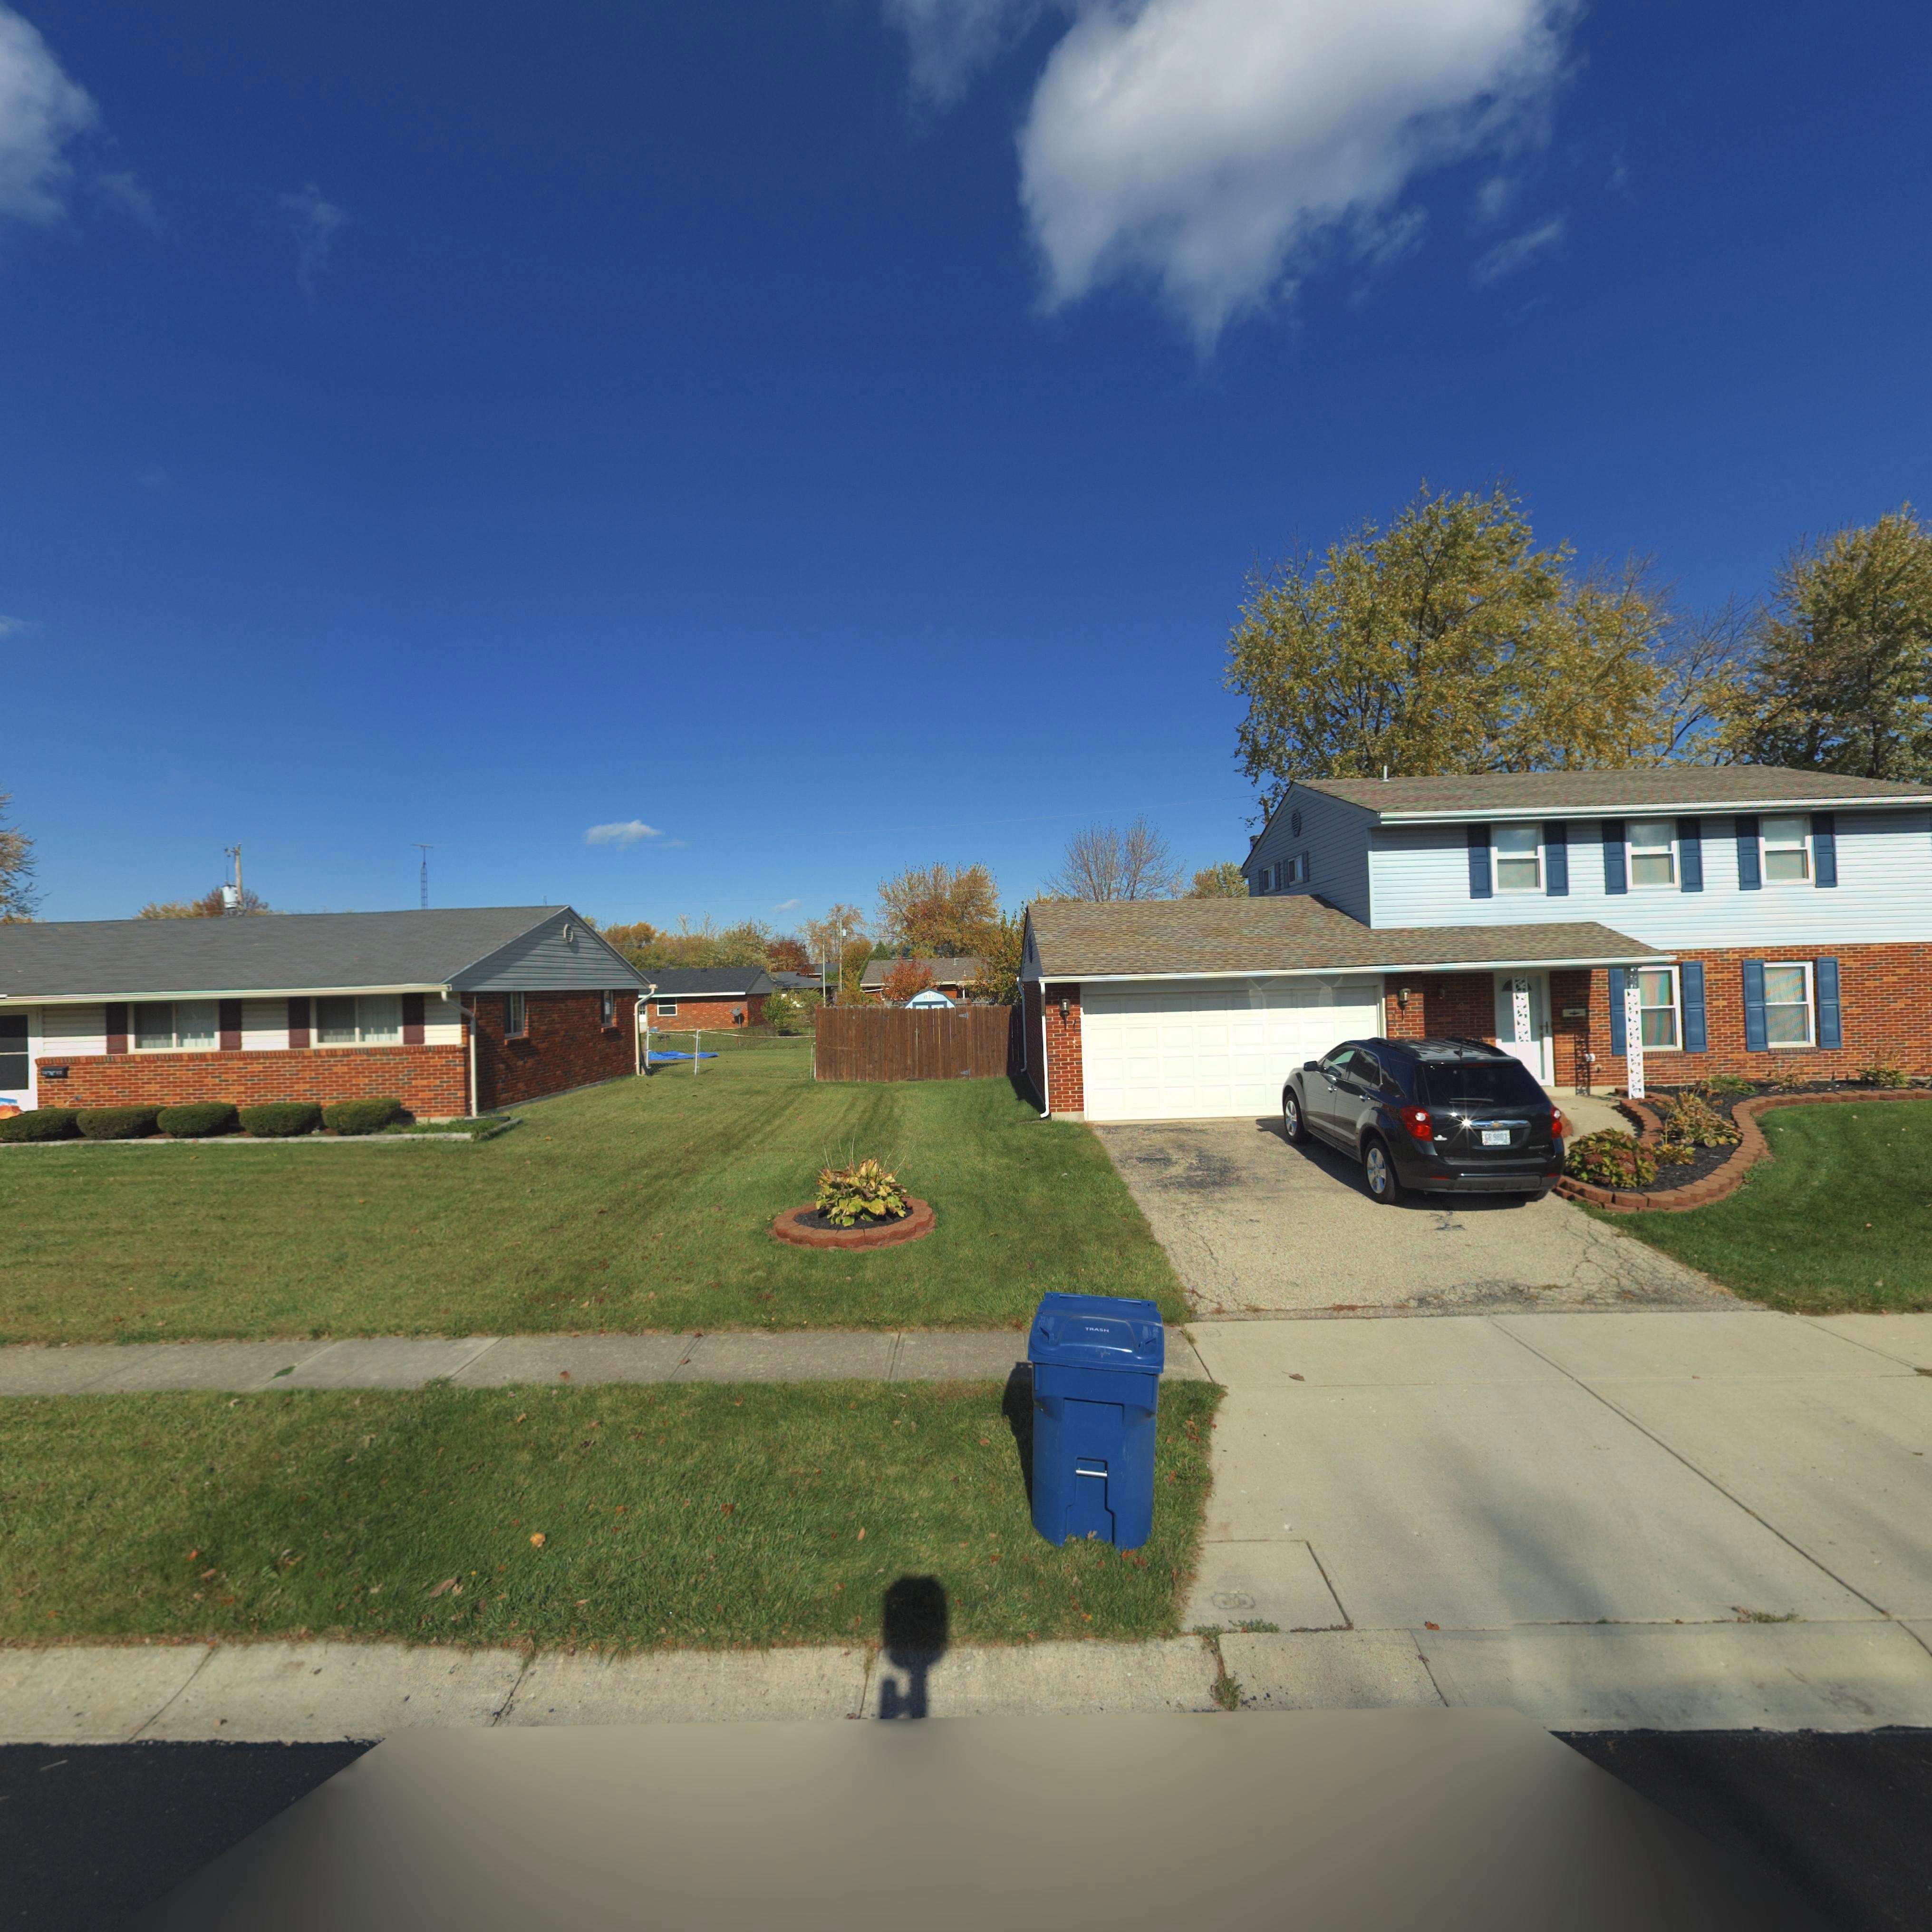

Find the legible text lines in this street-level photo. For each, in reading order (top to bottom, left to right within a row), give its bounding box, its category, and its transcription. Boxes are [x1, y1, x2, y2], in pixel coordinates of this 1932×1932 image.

[1453, 992, 1479, 1029] StreetNumber: 7221